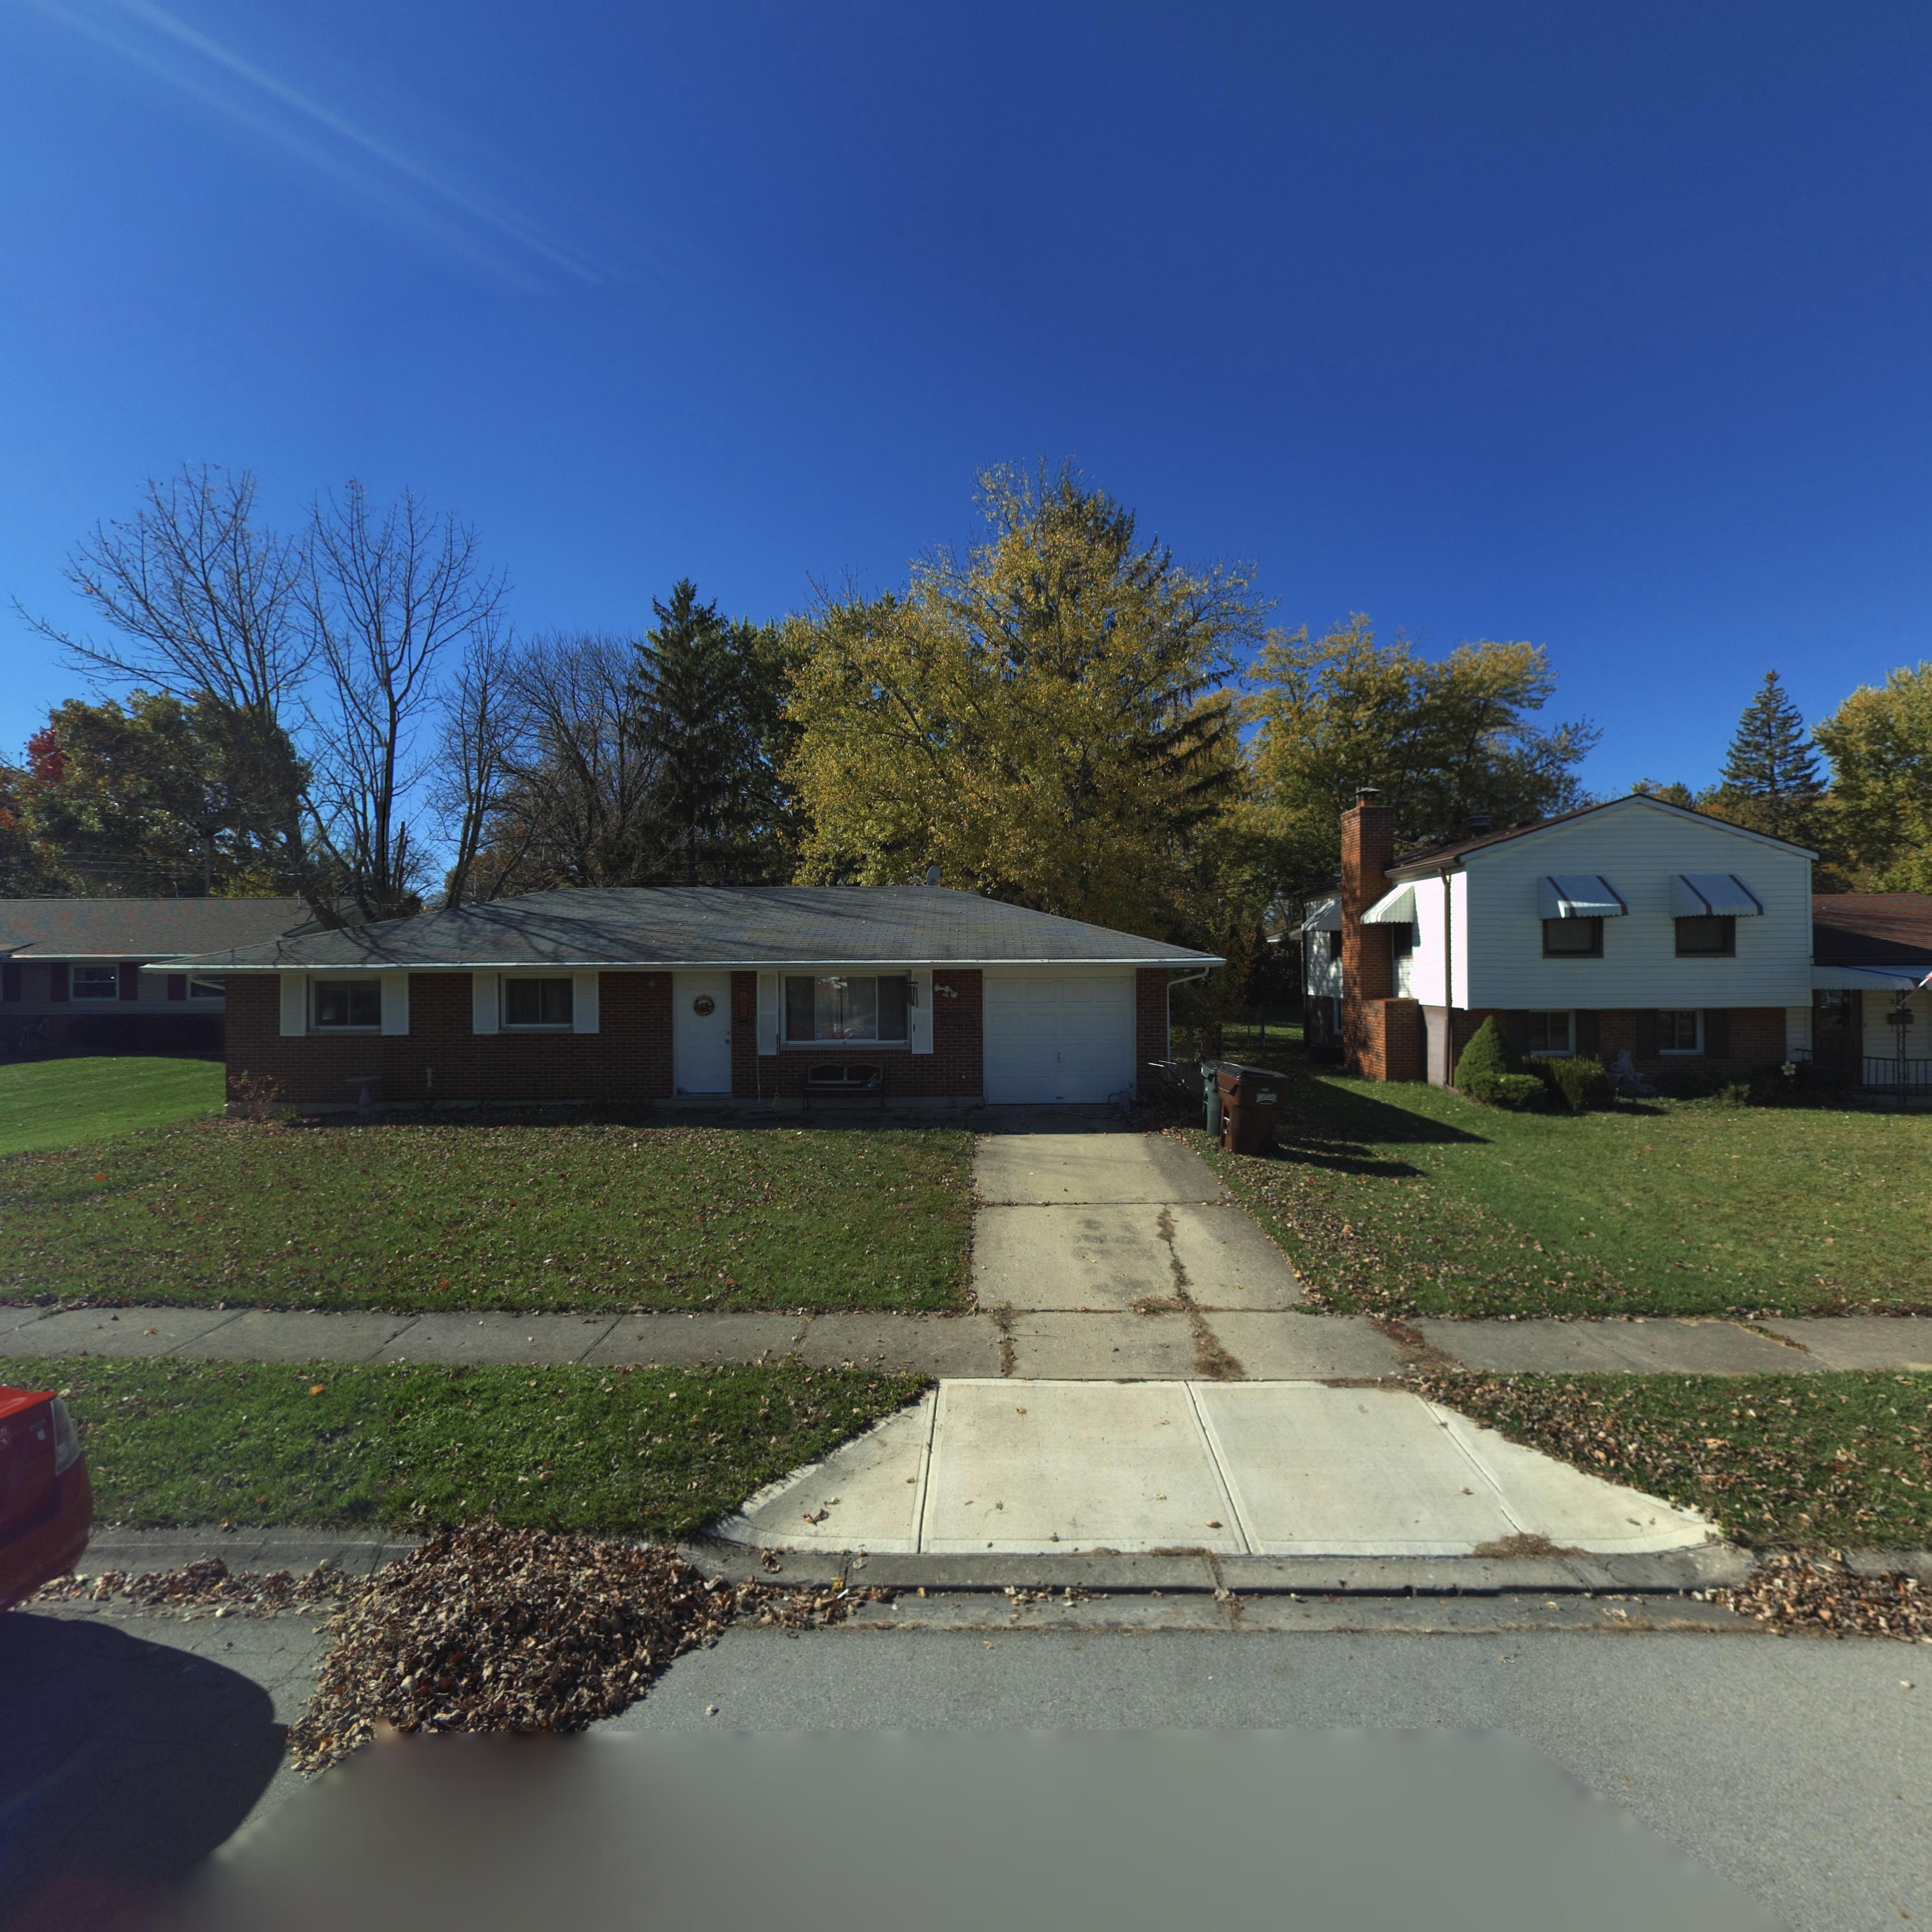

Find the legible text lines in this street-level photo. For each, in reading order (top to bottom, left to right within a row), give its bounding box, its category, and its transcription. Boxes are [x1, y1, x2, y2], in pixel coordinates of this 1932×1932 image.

[740, 991, 747, 1018] StreetNumber: 323
[1888, 998, 1895, 1005] StreetNumber: 3